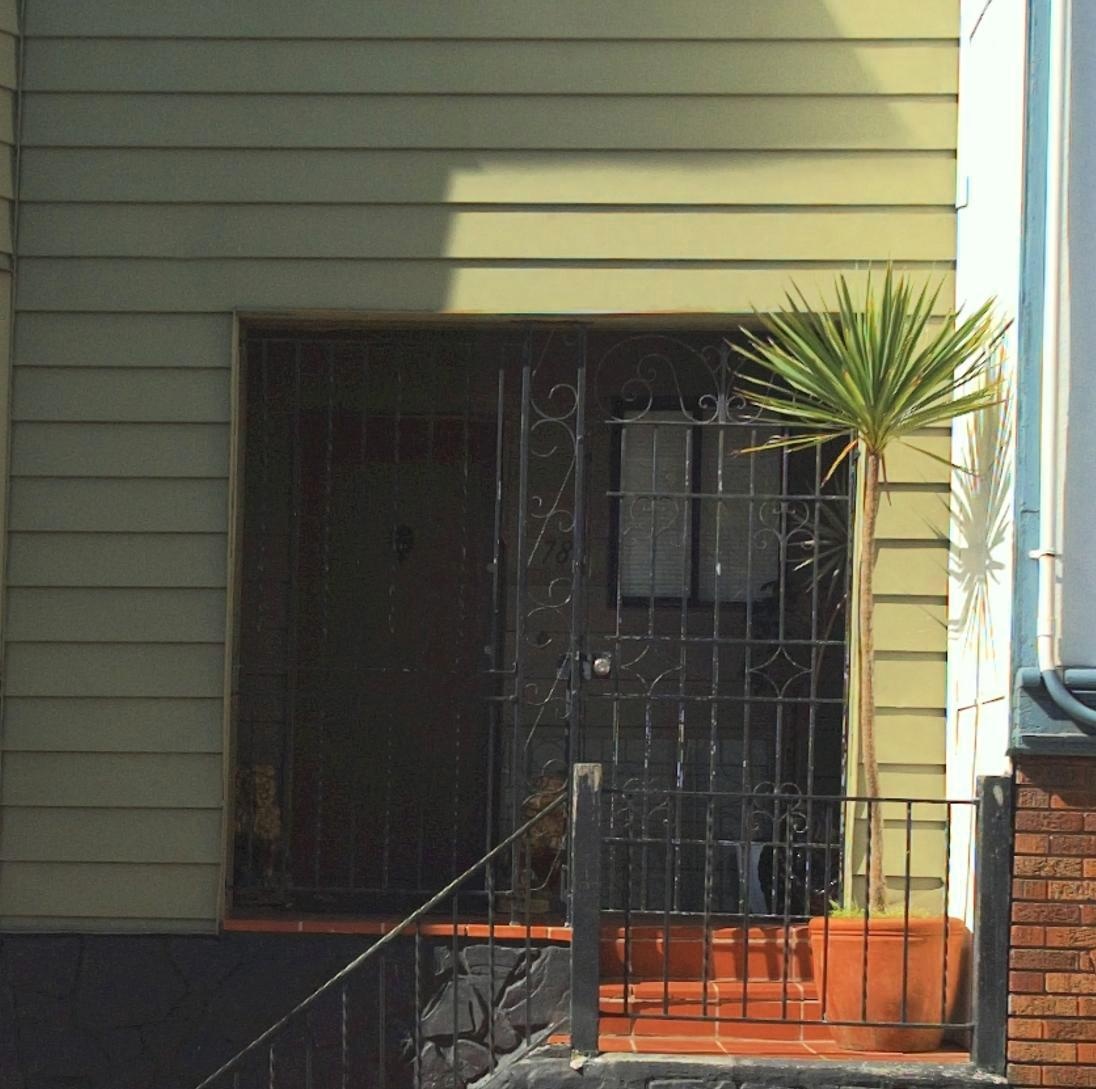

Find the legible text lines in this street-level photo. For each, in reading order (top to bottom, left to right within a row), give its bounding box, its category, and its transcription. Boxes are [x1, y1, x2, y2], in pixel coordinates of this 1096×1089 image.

[537, 537, 580, 569] StreetNumber: 78